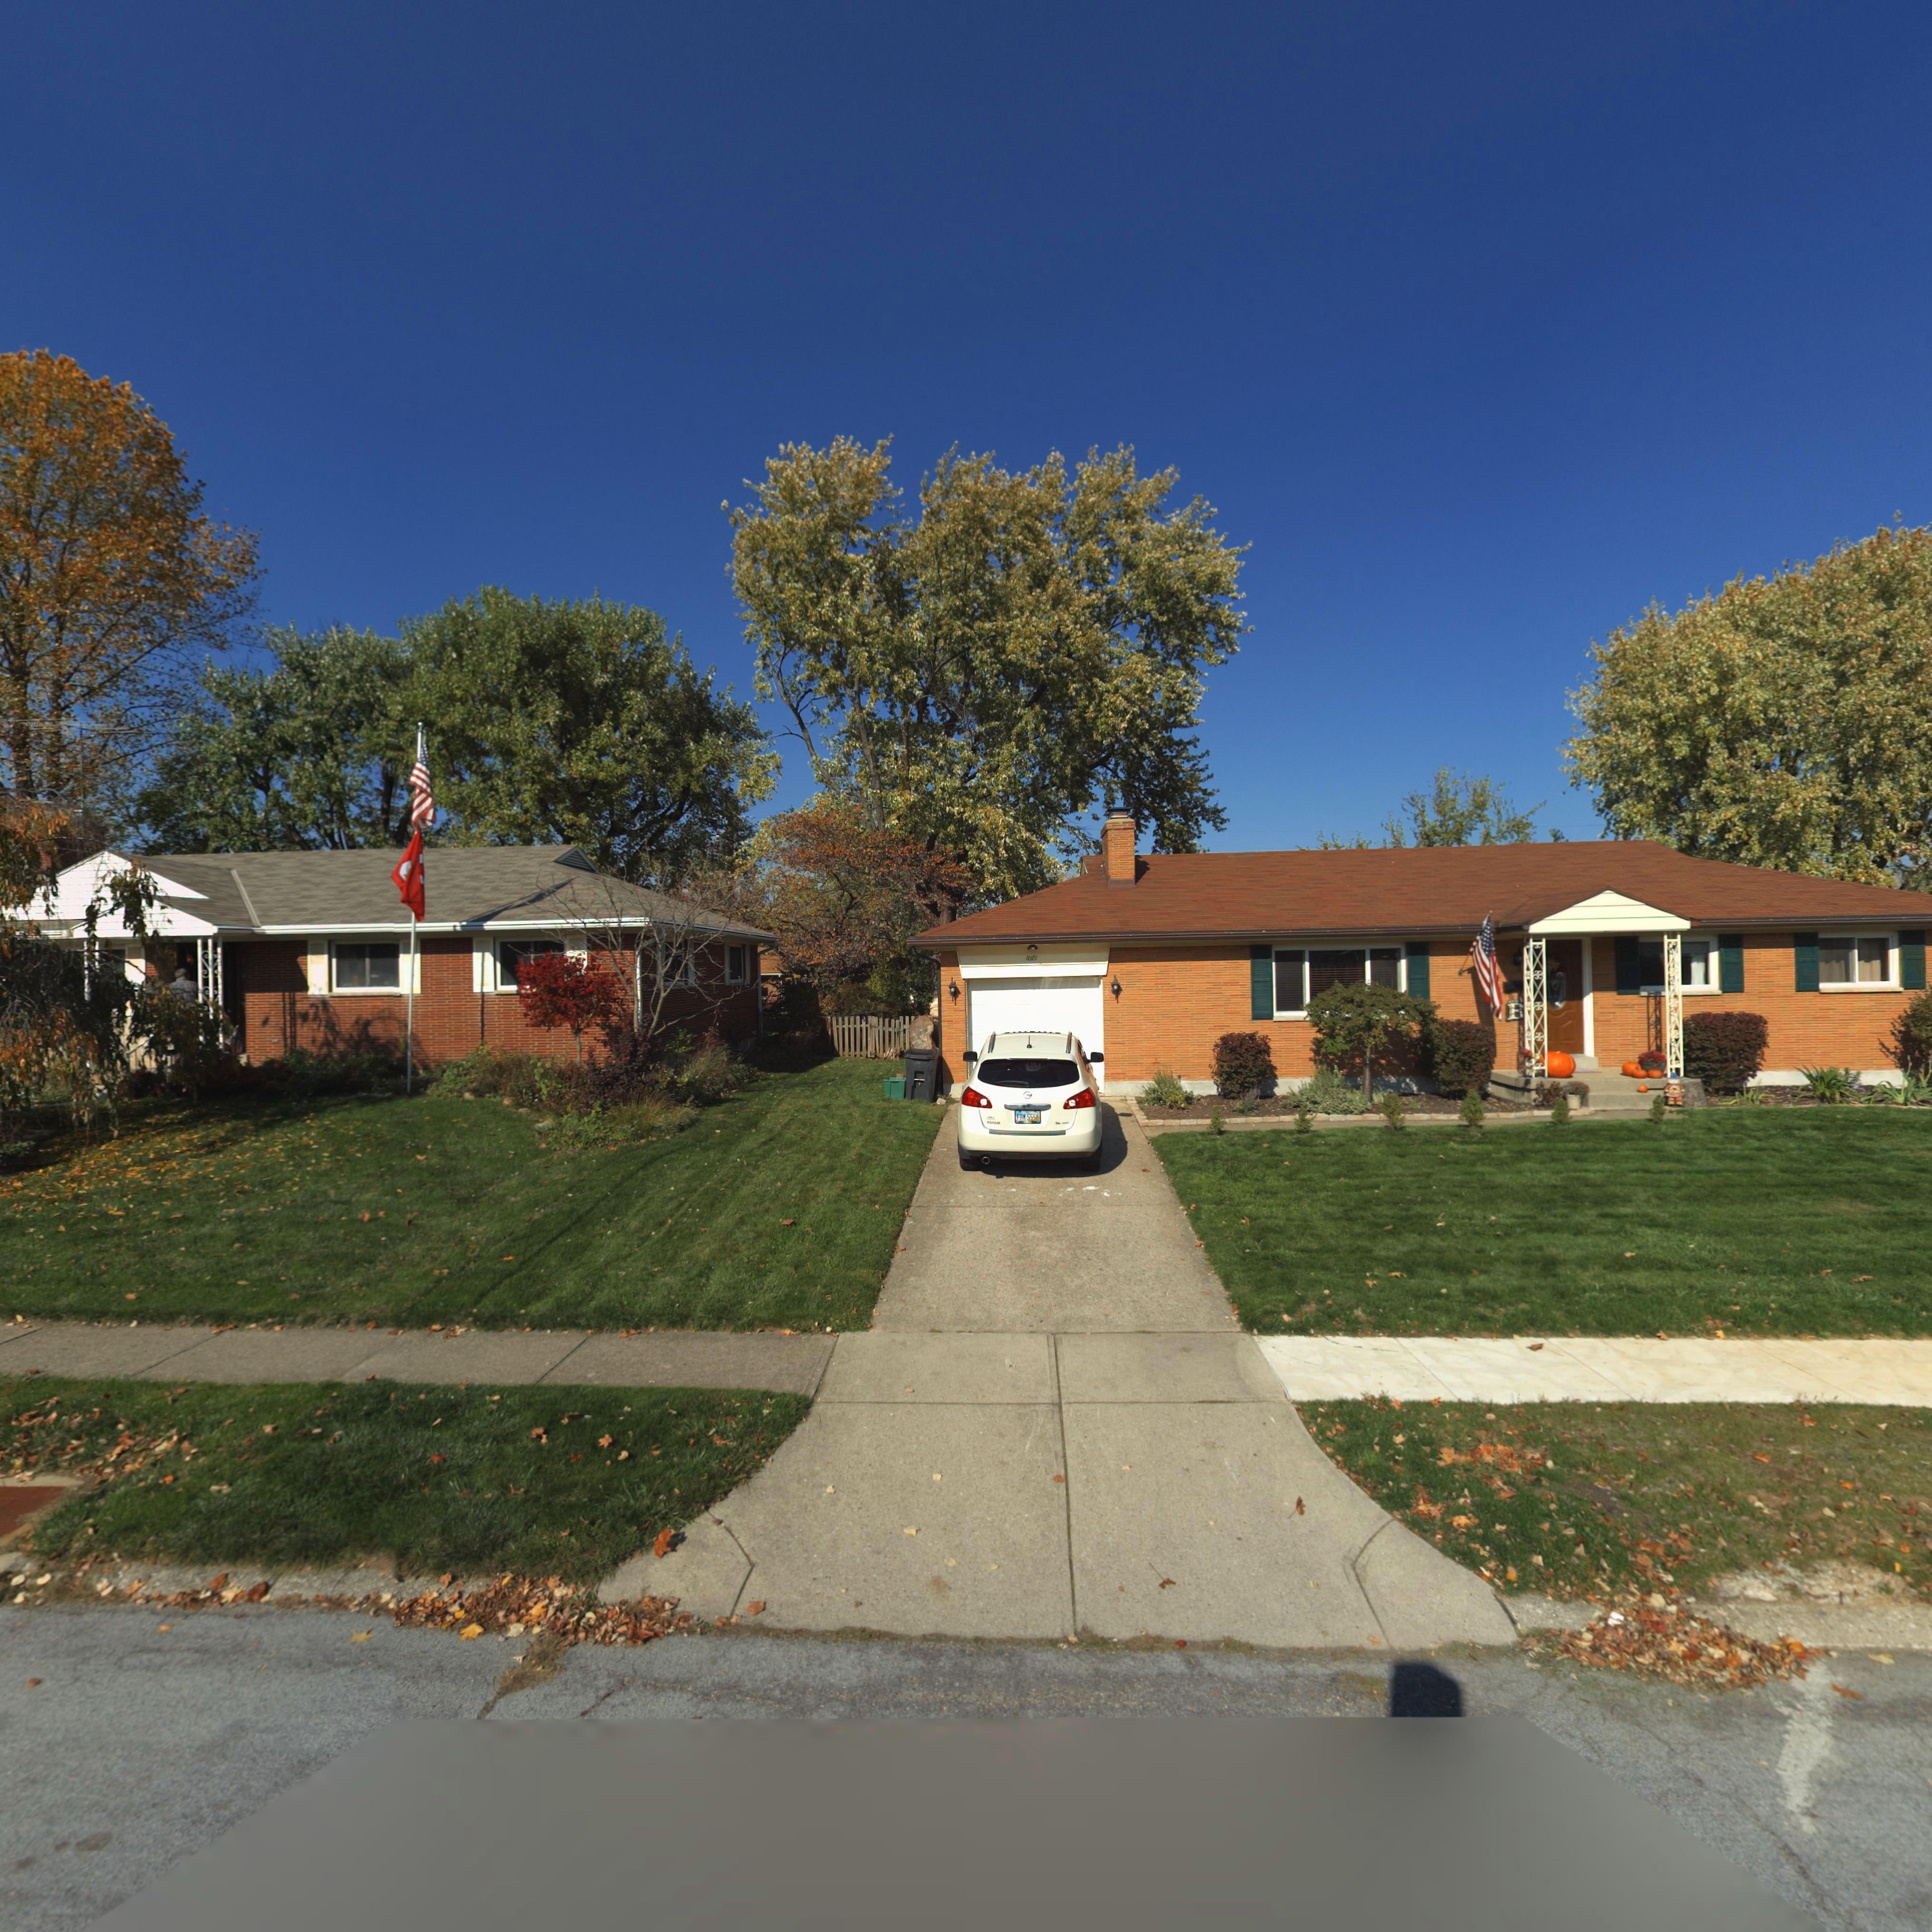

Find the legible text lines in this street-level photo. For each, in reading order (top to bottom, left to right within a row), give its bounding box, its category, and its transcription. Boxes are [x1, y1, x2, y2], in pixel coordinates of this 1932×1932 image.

[1025, 955, 1038, 961] StreetNumber: 1019